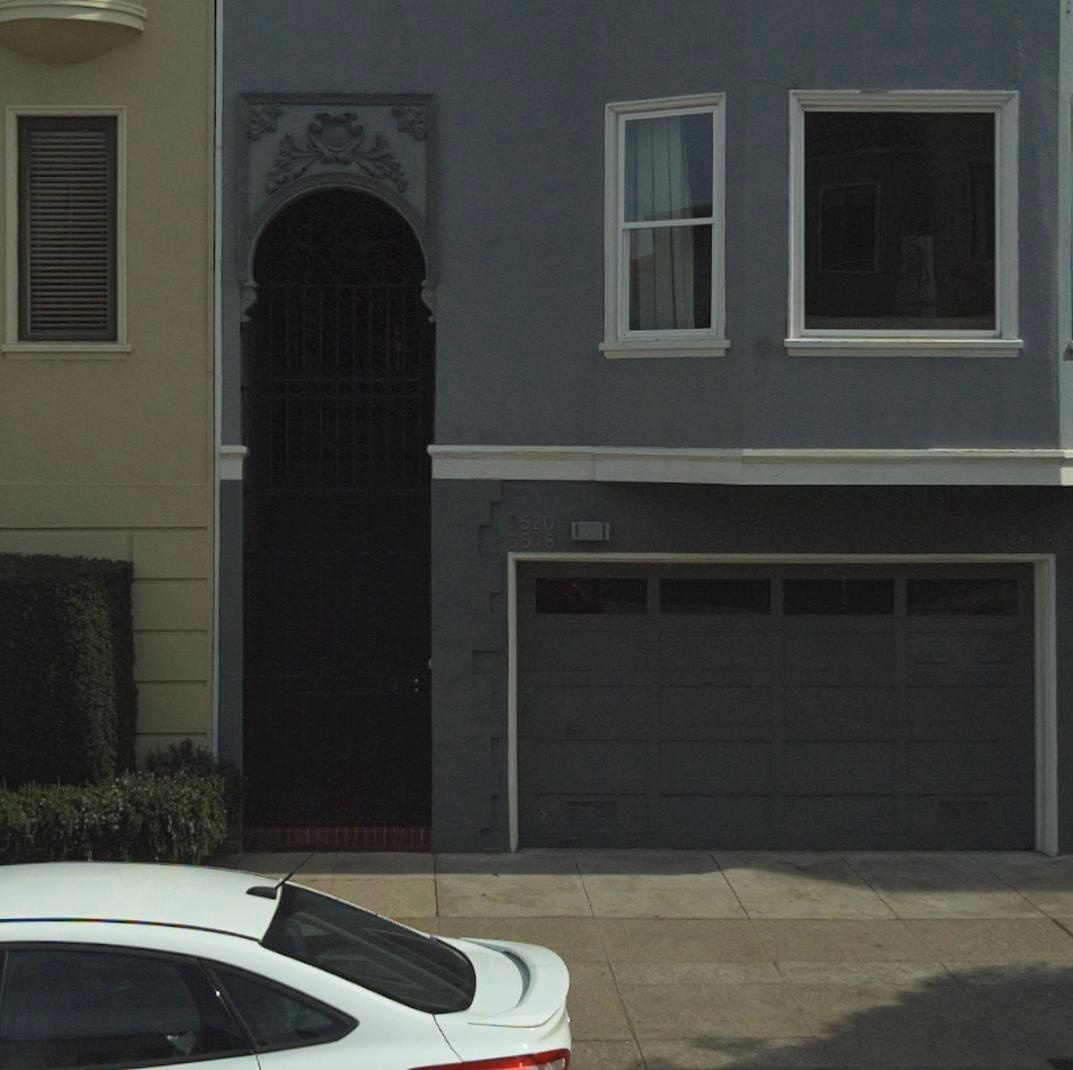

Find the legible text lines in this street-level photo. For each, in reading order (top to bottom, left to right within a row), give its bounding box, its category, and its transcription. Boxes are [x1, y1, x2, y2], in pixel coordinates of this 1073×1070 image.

[505, 512, 555, 533] StreetNumber: *520
[507, 531, 556, 551] StreetNumber: 3518